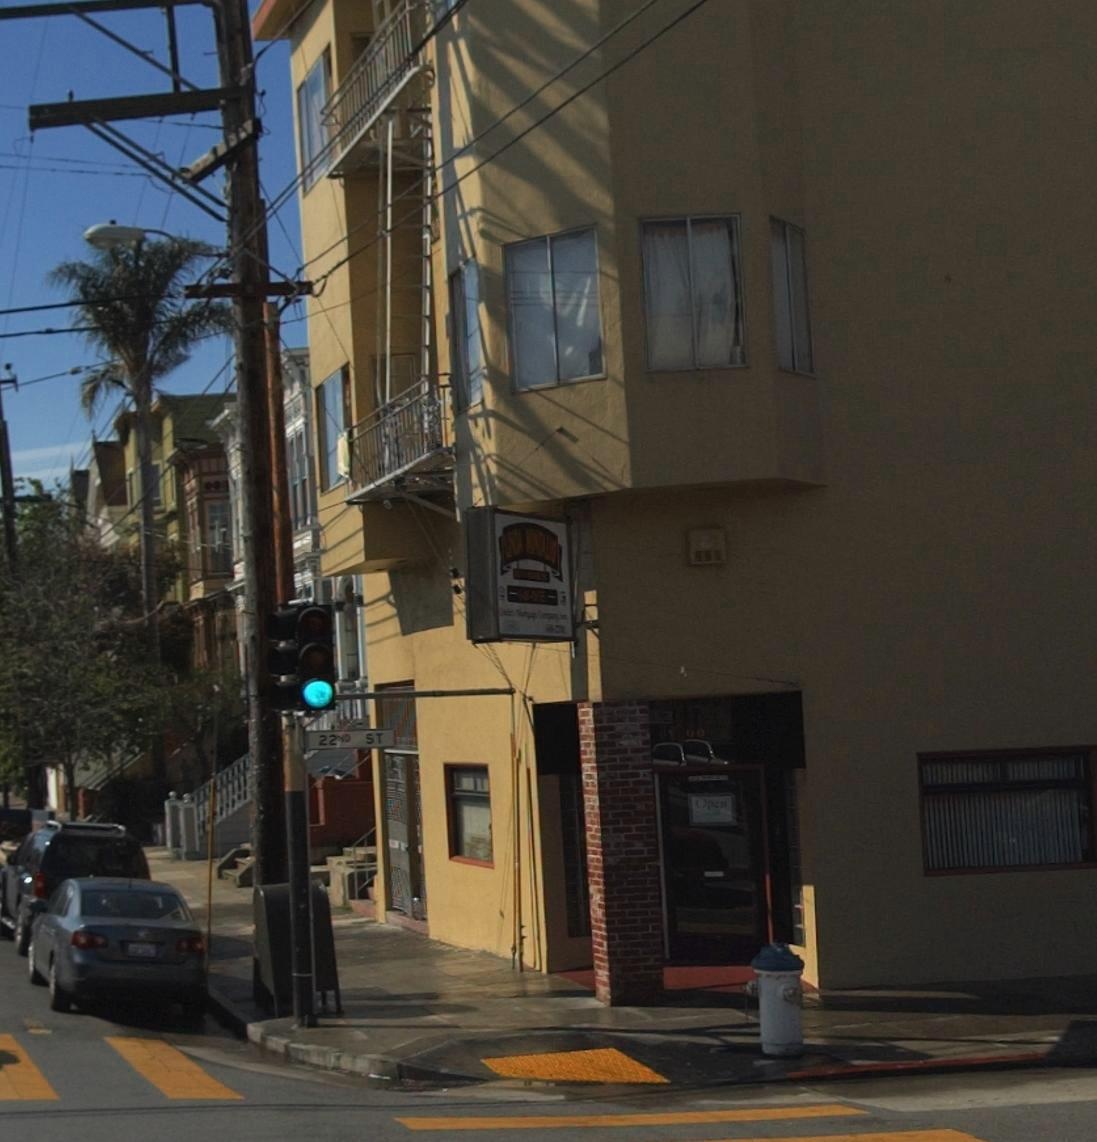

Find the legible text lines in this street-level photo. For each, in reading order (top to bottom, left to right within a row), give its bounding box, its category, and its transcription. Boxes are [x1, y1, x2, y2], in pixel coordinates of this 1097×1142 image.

[501, 526, 559, 566] BusinessName: Linda Montalvo Realty & Associates Inc.
[317, 731, 384, 747] StreetName: 22ND ST
[694, 796, 730, 809] None: Open